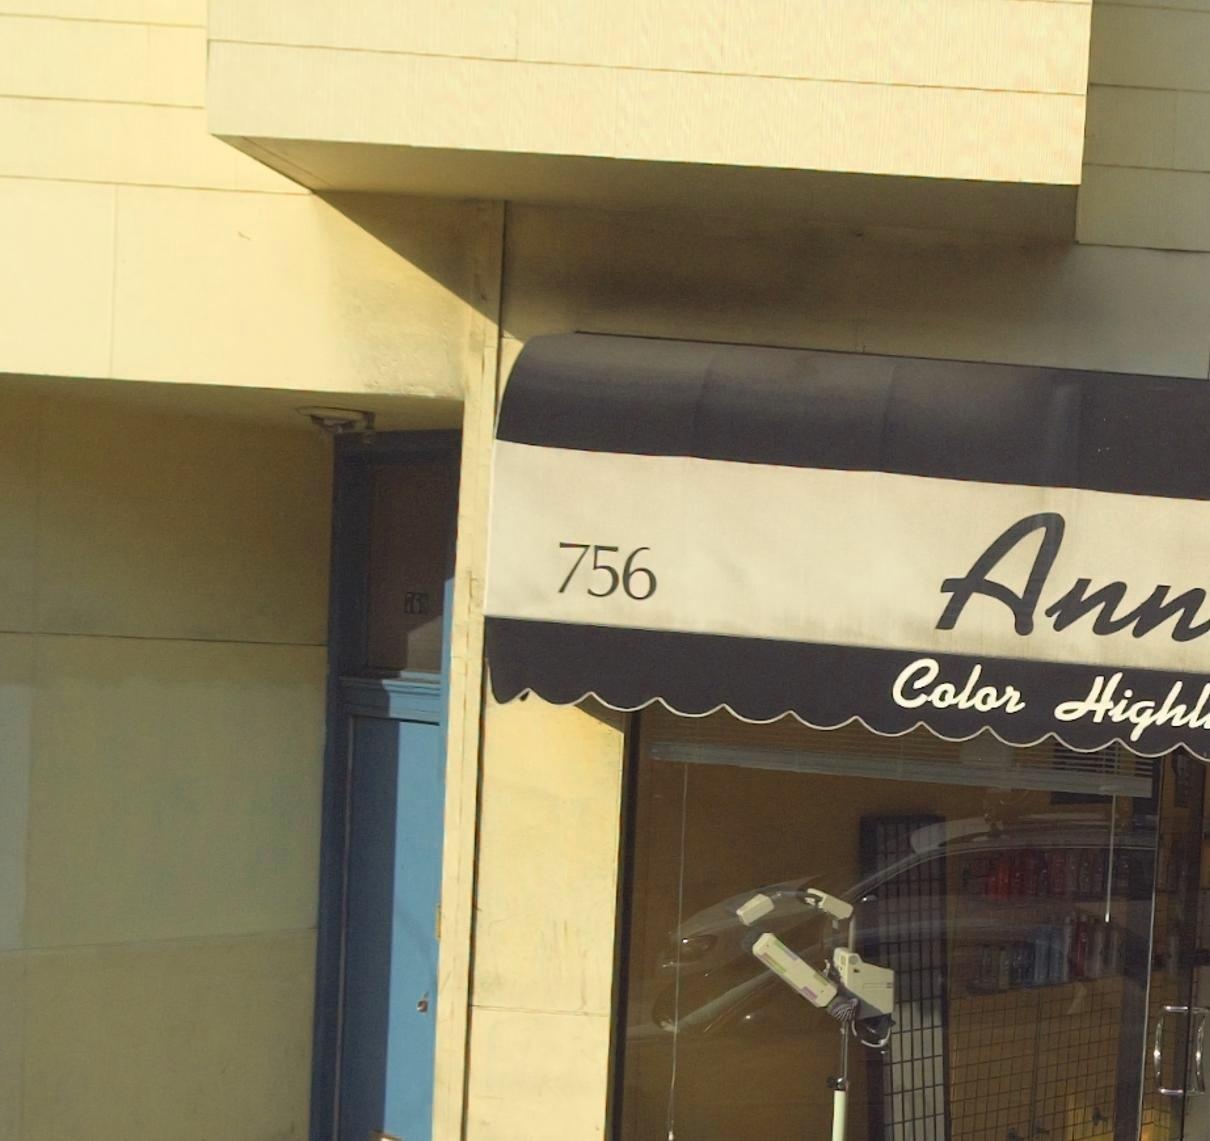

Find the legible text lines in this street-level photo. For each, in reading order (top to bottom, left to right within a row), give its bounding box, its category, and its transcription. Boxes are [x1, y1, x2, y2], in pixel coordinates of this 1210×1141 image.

[401, 589, 429, 619] StreetNumber: 76*
[550, 534, 660, 605] StreetNumber: 756
[930, 508, 1208, 652] BusinessName: Ann
[887, 654, 1200, 745] None: Colo High